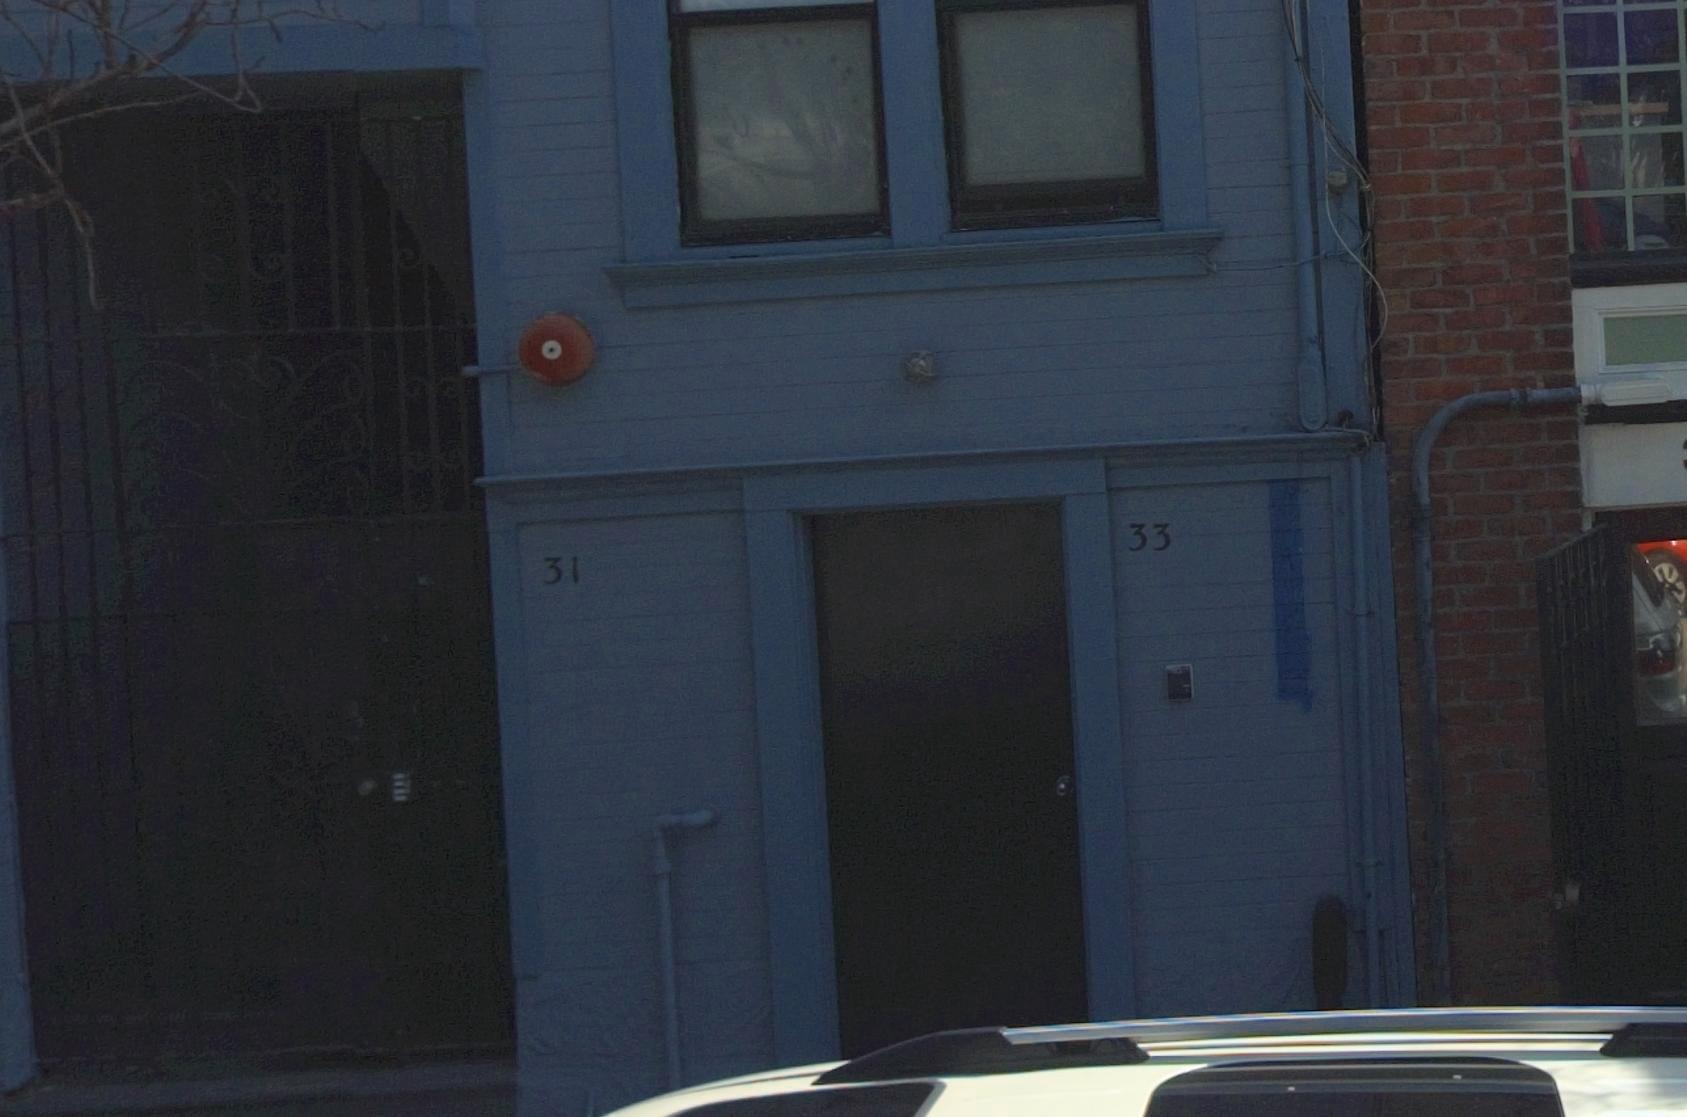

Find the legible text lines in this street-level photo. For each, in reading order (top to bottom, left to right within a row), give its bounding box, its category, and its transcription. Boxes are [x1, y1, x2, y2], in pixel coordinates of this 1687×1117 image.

[1125, 520, 1173, 555] StreetNumber: 33
[540, 552, 584, 589] StreetNumber: 31